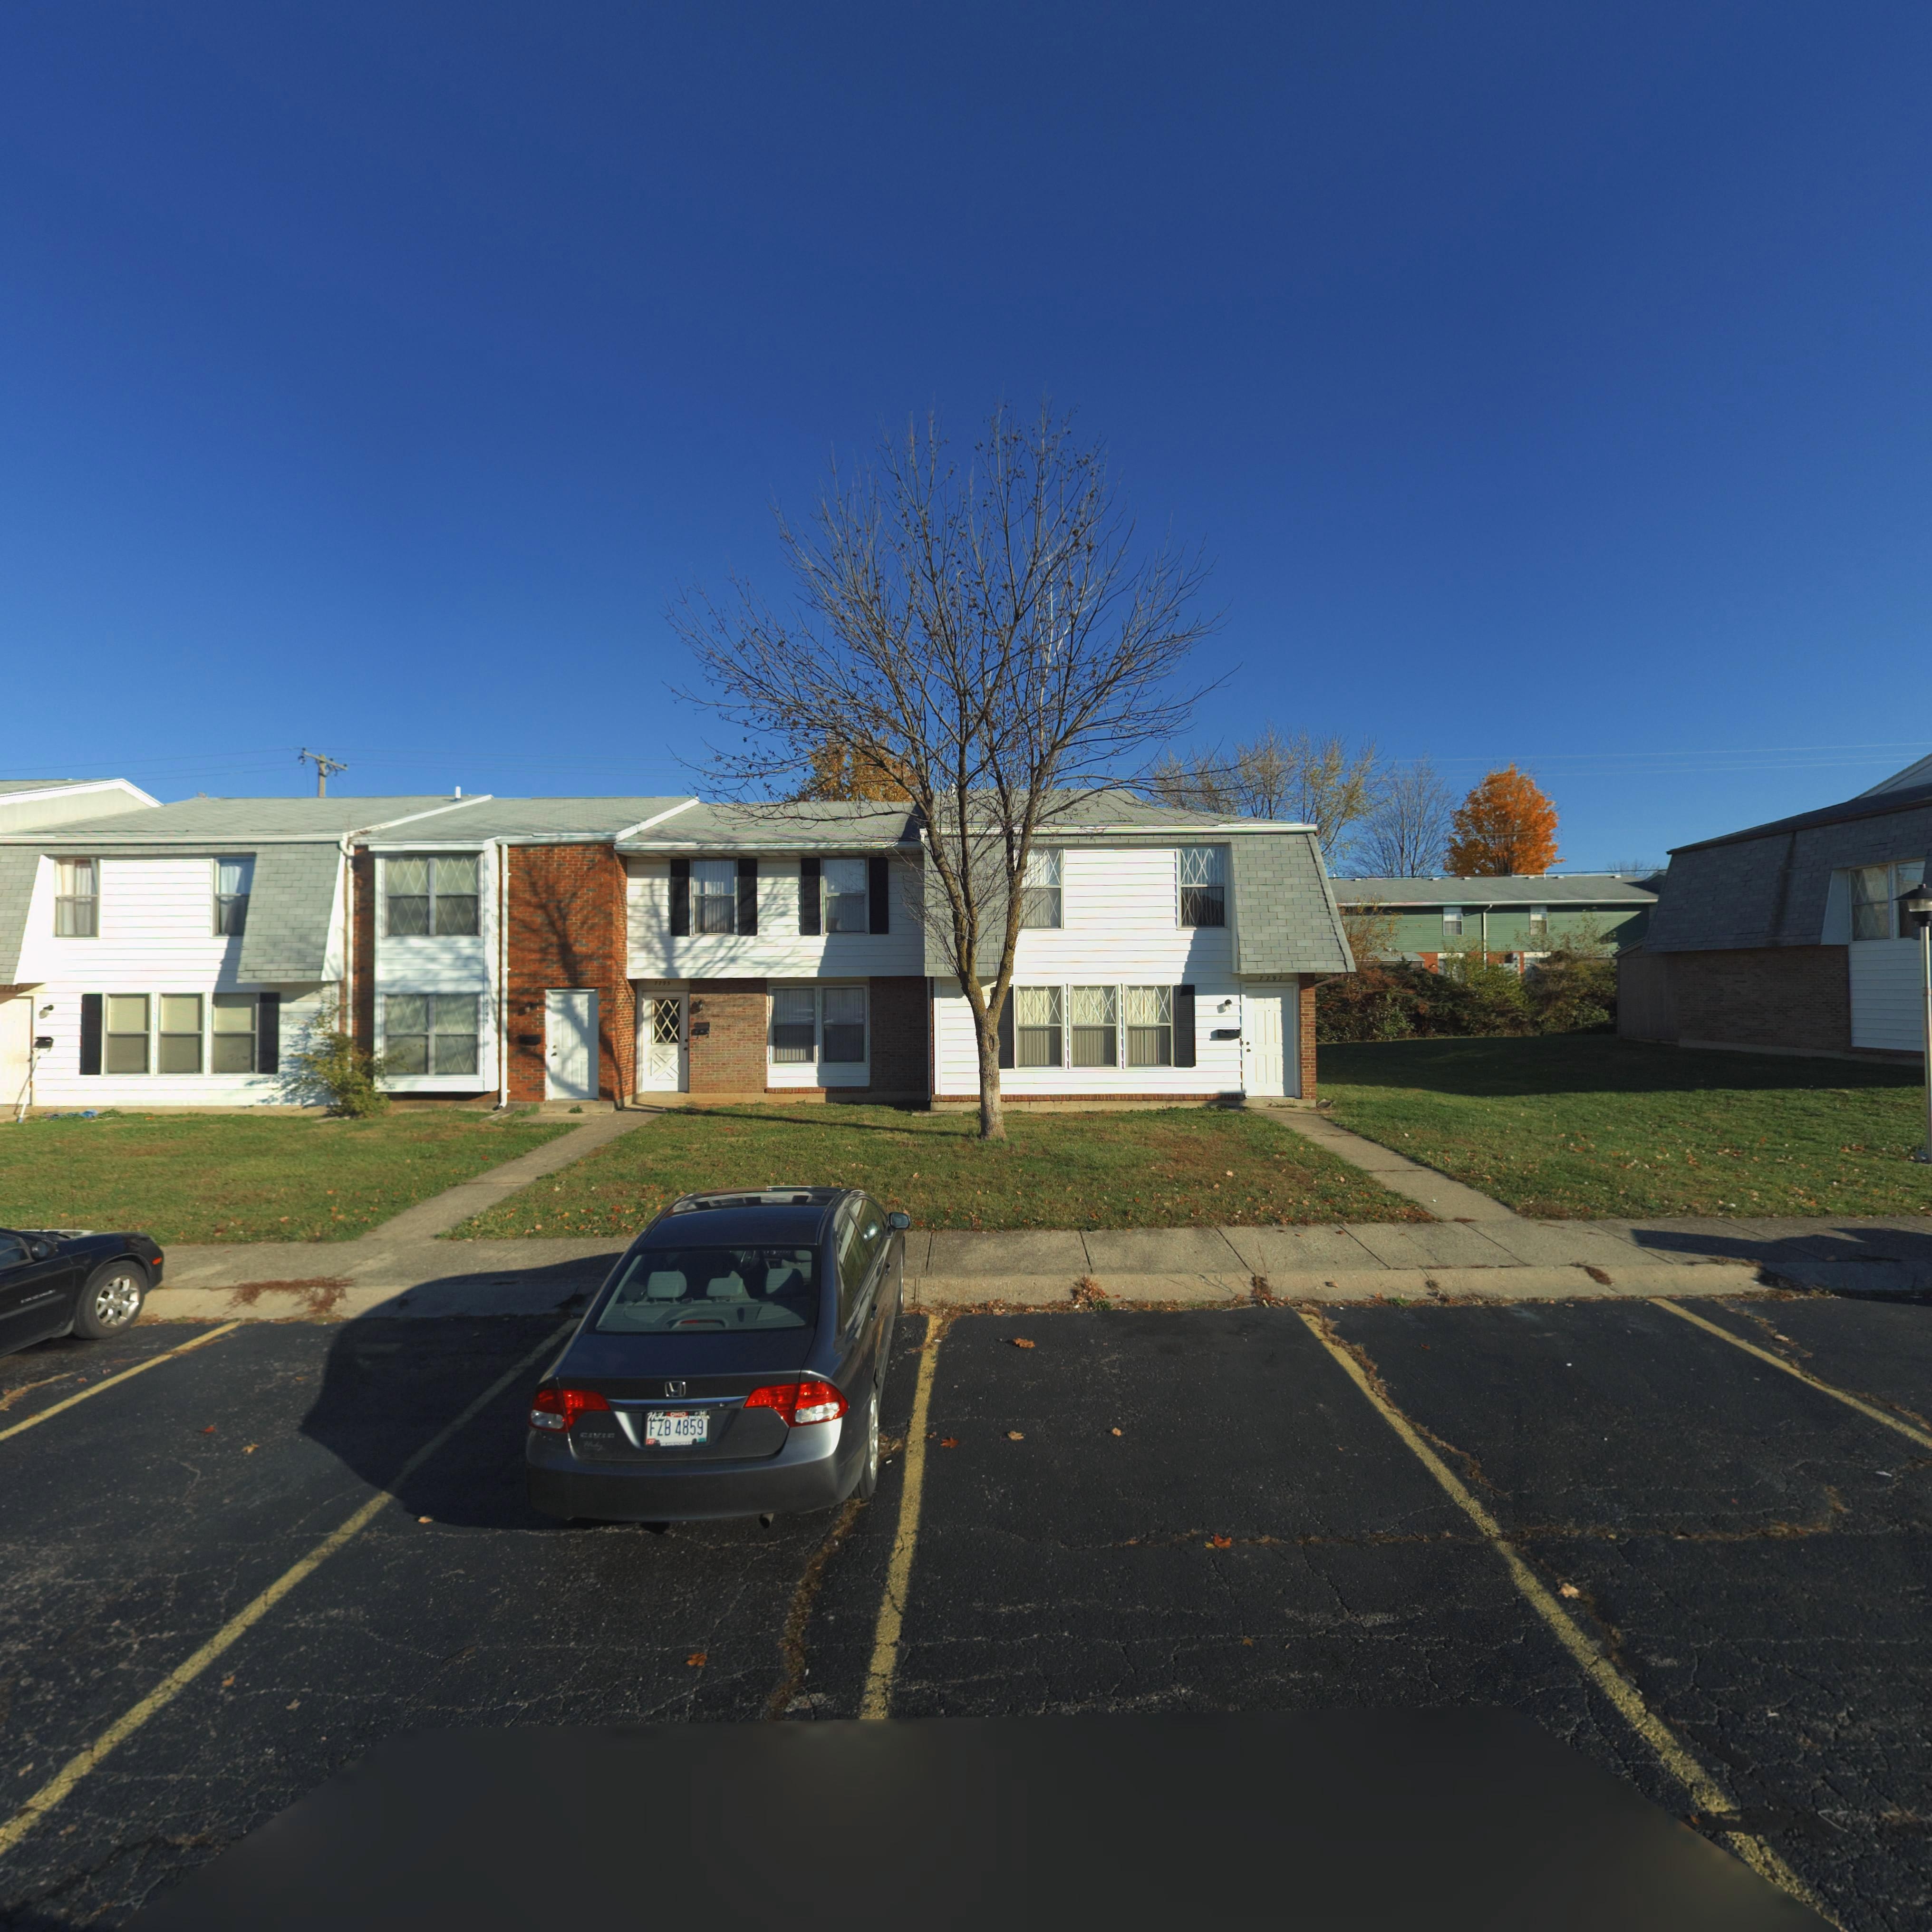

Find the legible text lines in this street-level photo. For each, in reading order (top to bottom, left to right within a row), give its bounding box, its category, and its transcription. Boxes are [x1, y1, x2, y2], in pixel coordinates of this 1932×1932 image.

[1258, 975, 1283, 982] StreetNumber: 7797
[654, 980, 671, 986] StreetNumber: 7795
[1, 985, 25, 992] StreetNumber: 779*
[484, 998, 489, 1025] StreetNumber: 7793